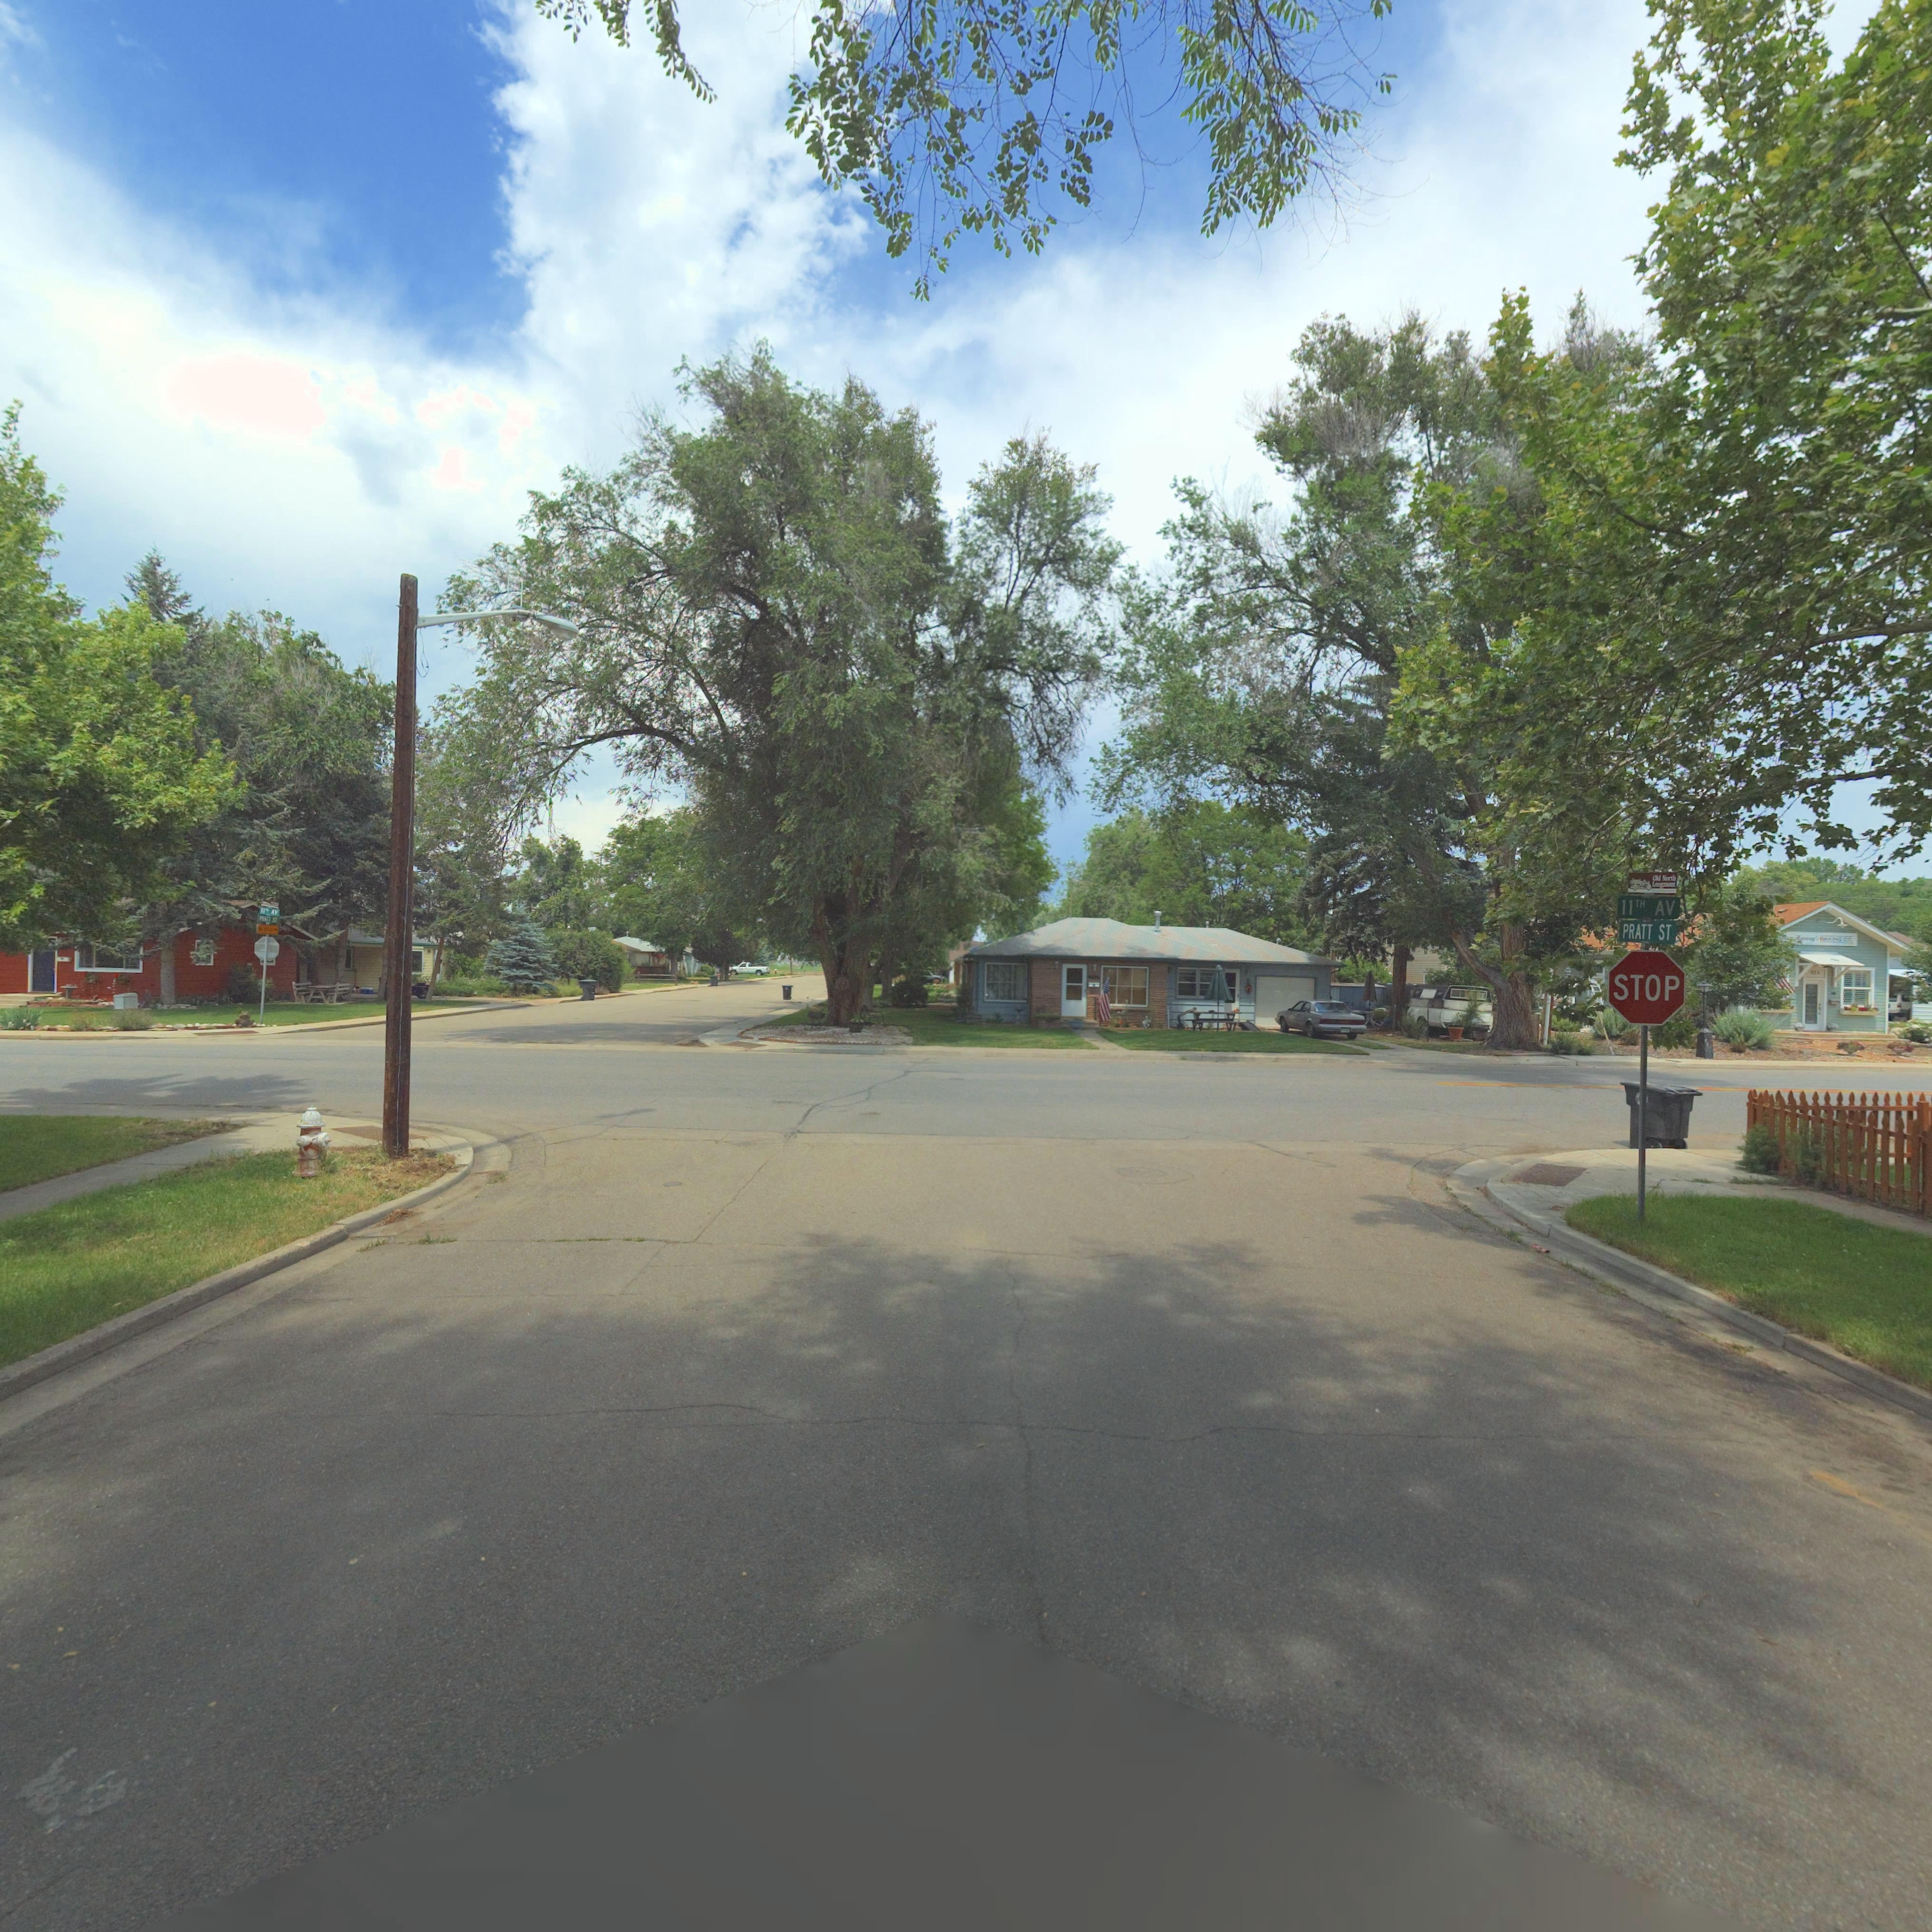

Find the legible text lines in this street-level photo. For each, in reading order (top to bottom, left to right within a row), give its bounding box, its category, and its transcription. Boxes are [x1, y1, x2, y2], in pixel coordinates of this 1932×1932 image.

[259, 915, 278, 922] StreetName: PRAT* AT
[261, 907, 279, 915] StreetName: 11** AV
[1622, 899, 1675, 916] StreetName: 11TH AV
[1622, 923, 1672, 941] StreetName: PRATT ST